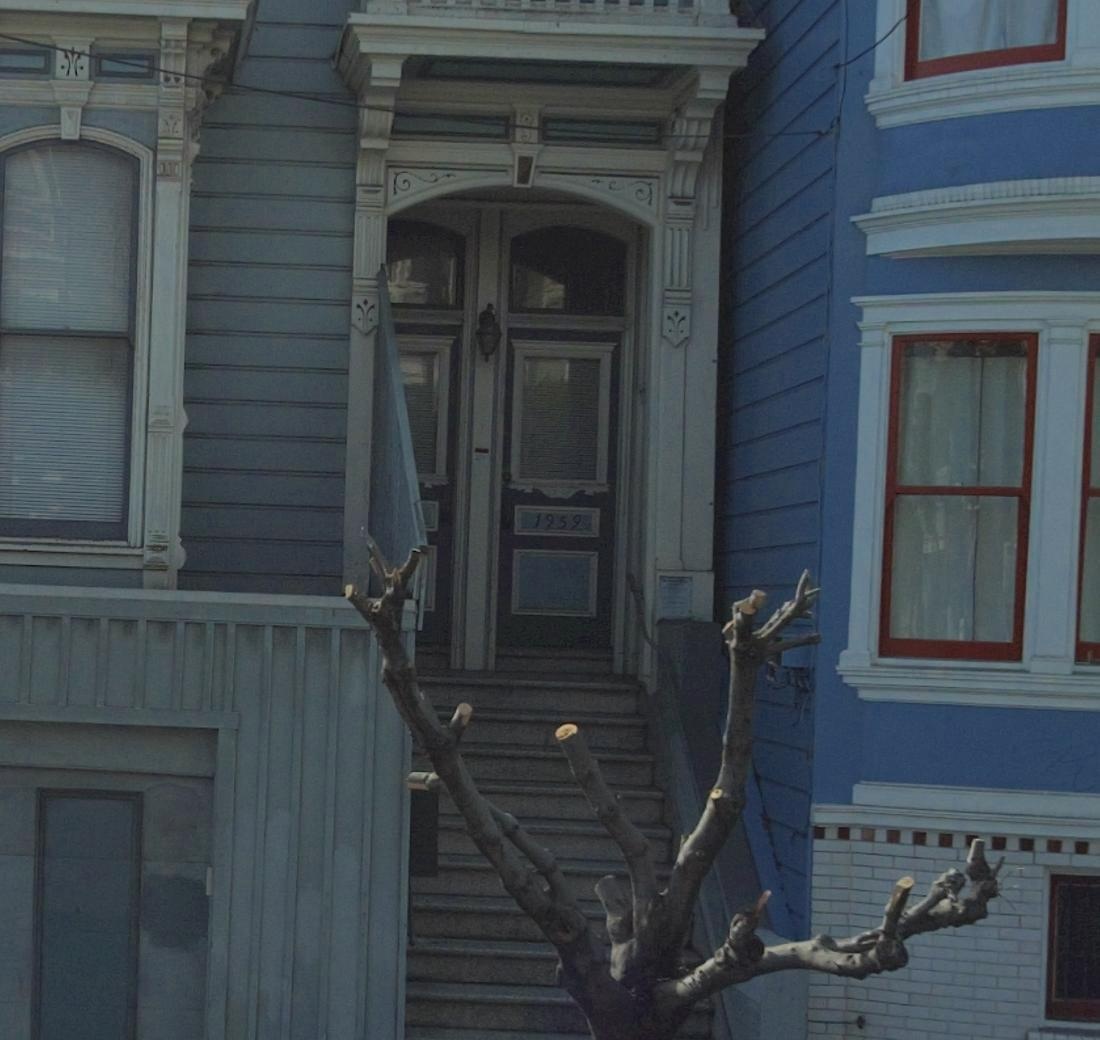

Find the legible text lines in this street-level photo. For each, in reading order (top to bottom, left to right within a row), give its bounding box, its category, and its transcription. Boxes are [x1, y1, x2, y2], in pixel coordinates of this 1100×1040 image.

[533, 511, 583, 531] StreetNumber: 1959